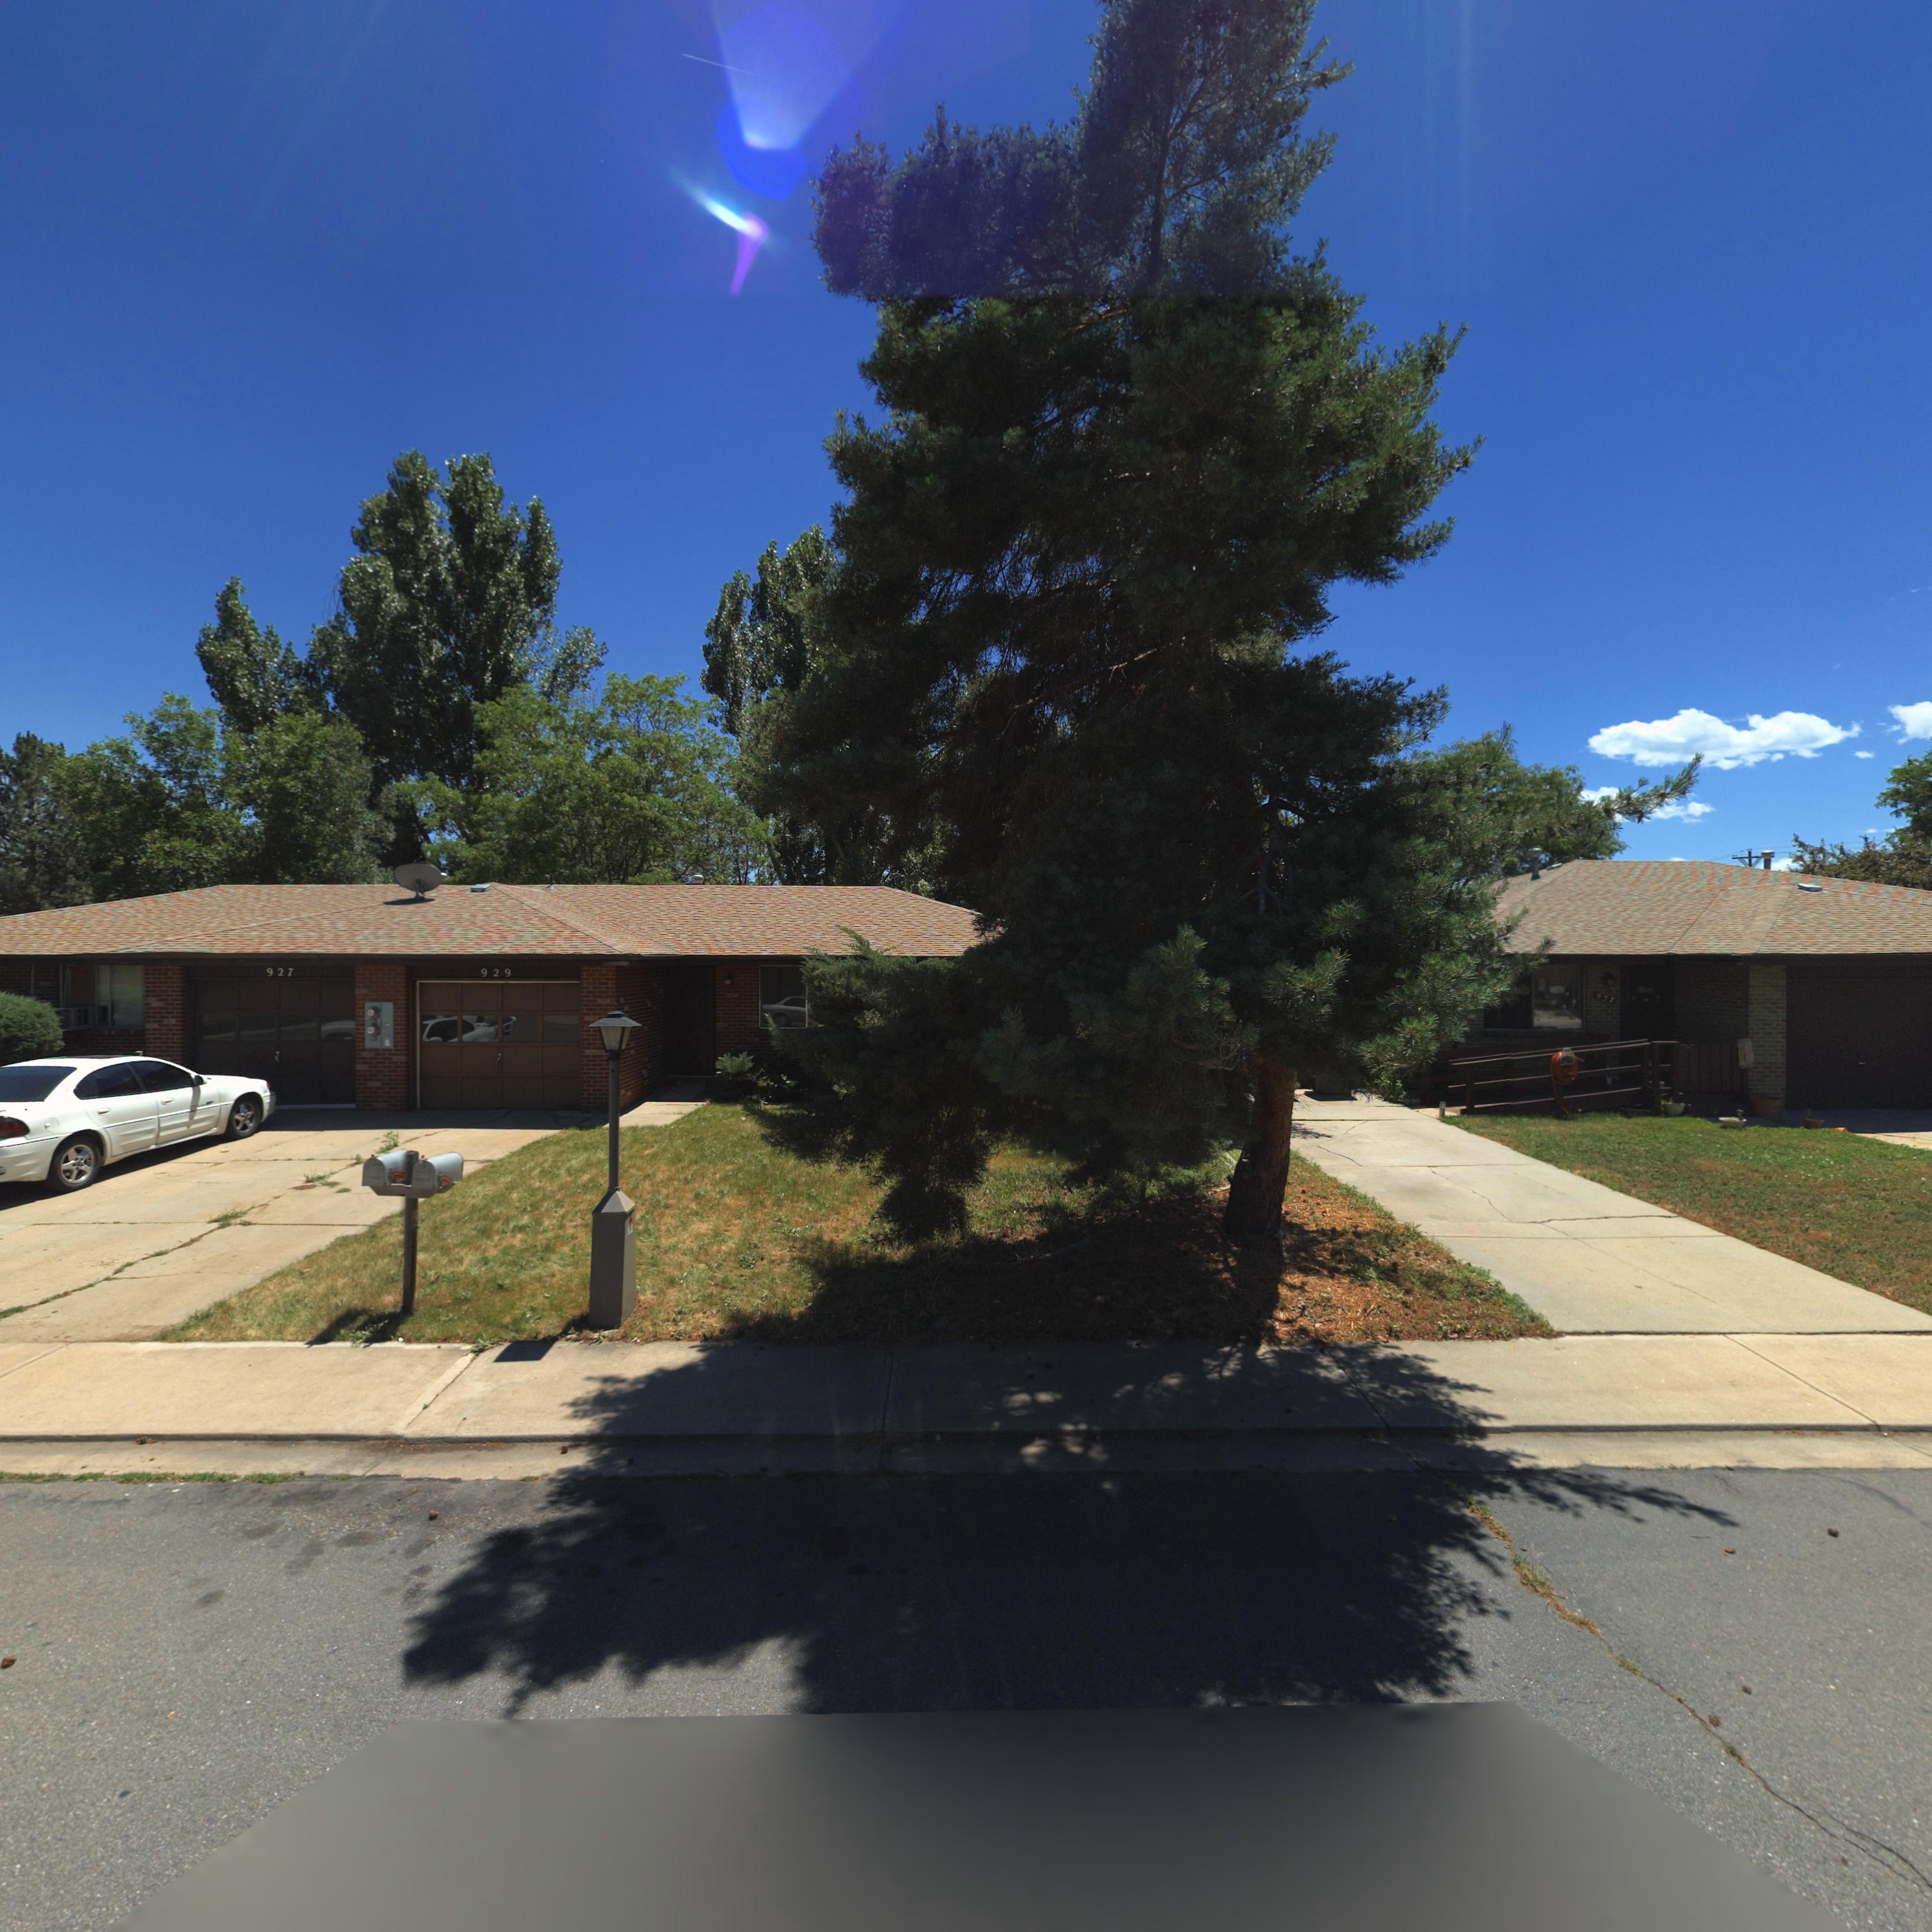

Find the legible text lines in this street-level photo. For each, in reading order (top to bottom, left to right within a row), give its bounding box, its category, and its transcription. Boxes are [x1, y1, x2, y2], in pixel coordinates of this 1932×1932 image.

[266, 967, 294, 977] StreetNumber: 927
[480, 968, 512, 977] StreetNumber: 929
[1596, 993, 1614, 1003] StreetNumber: 937